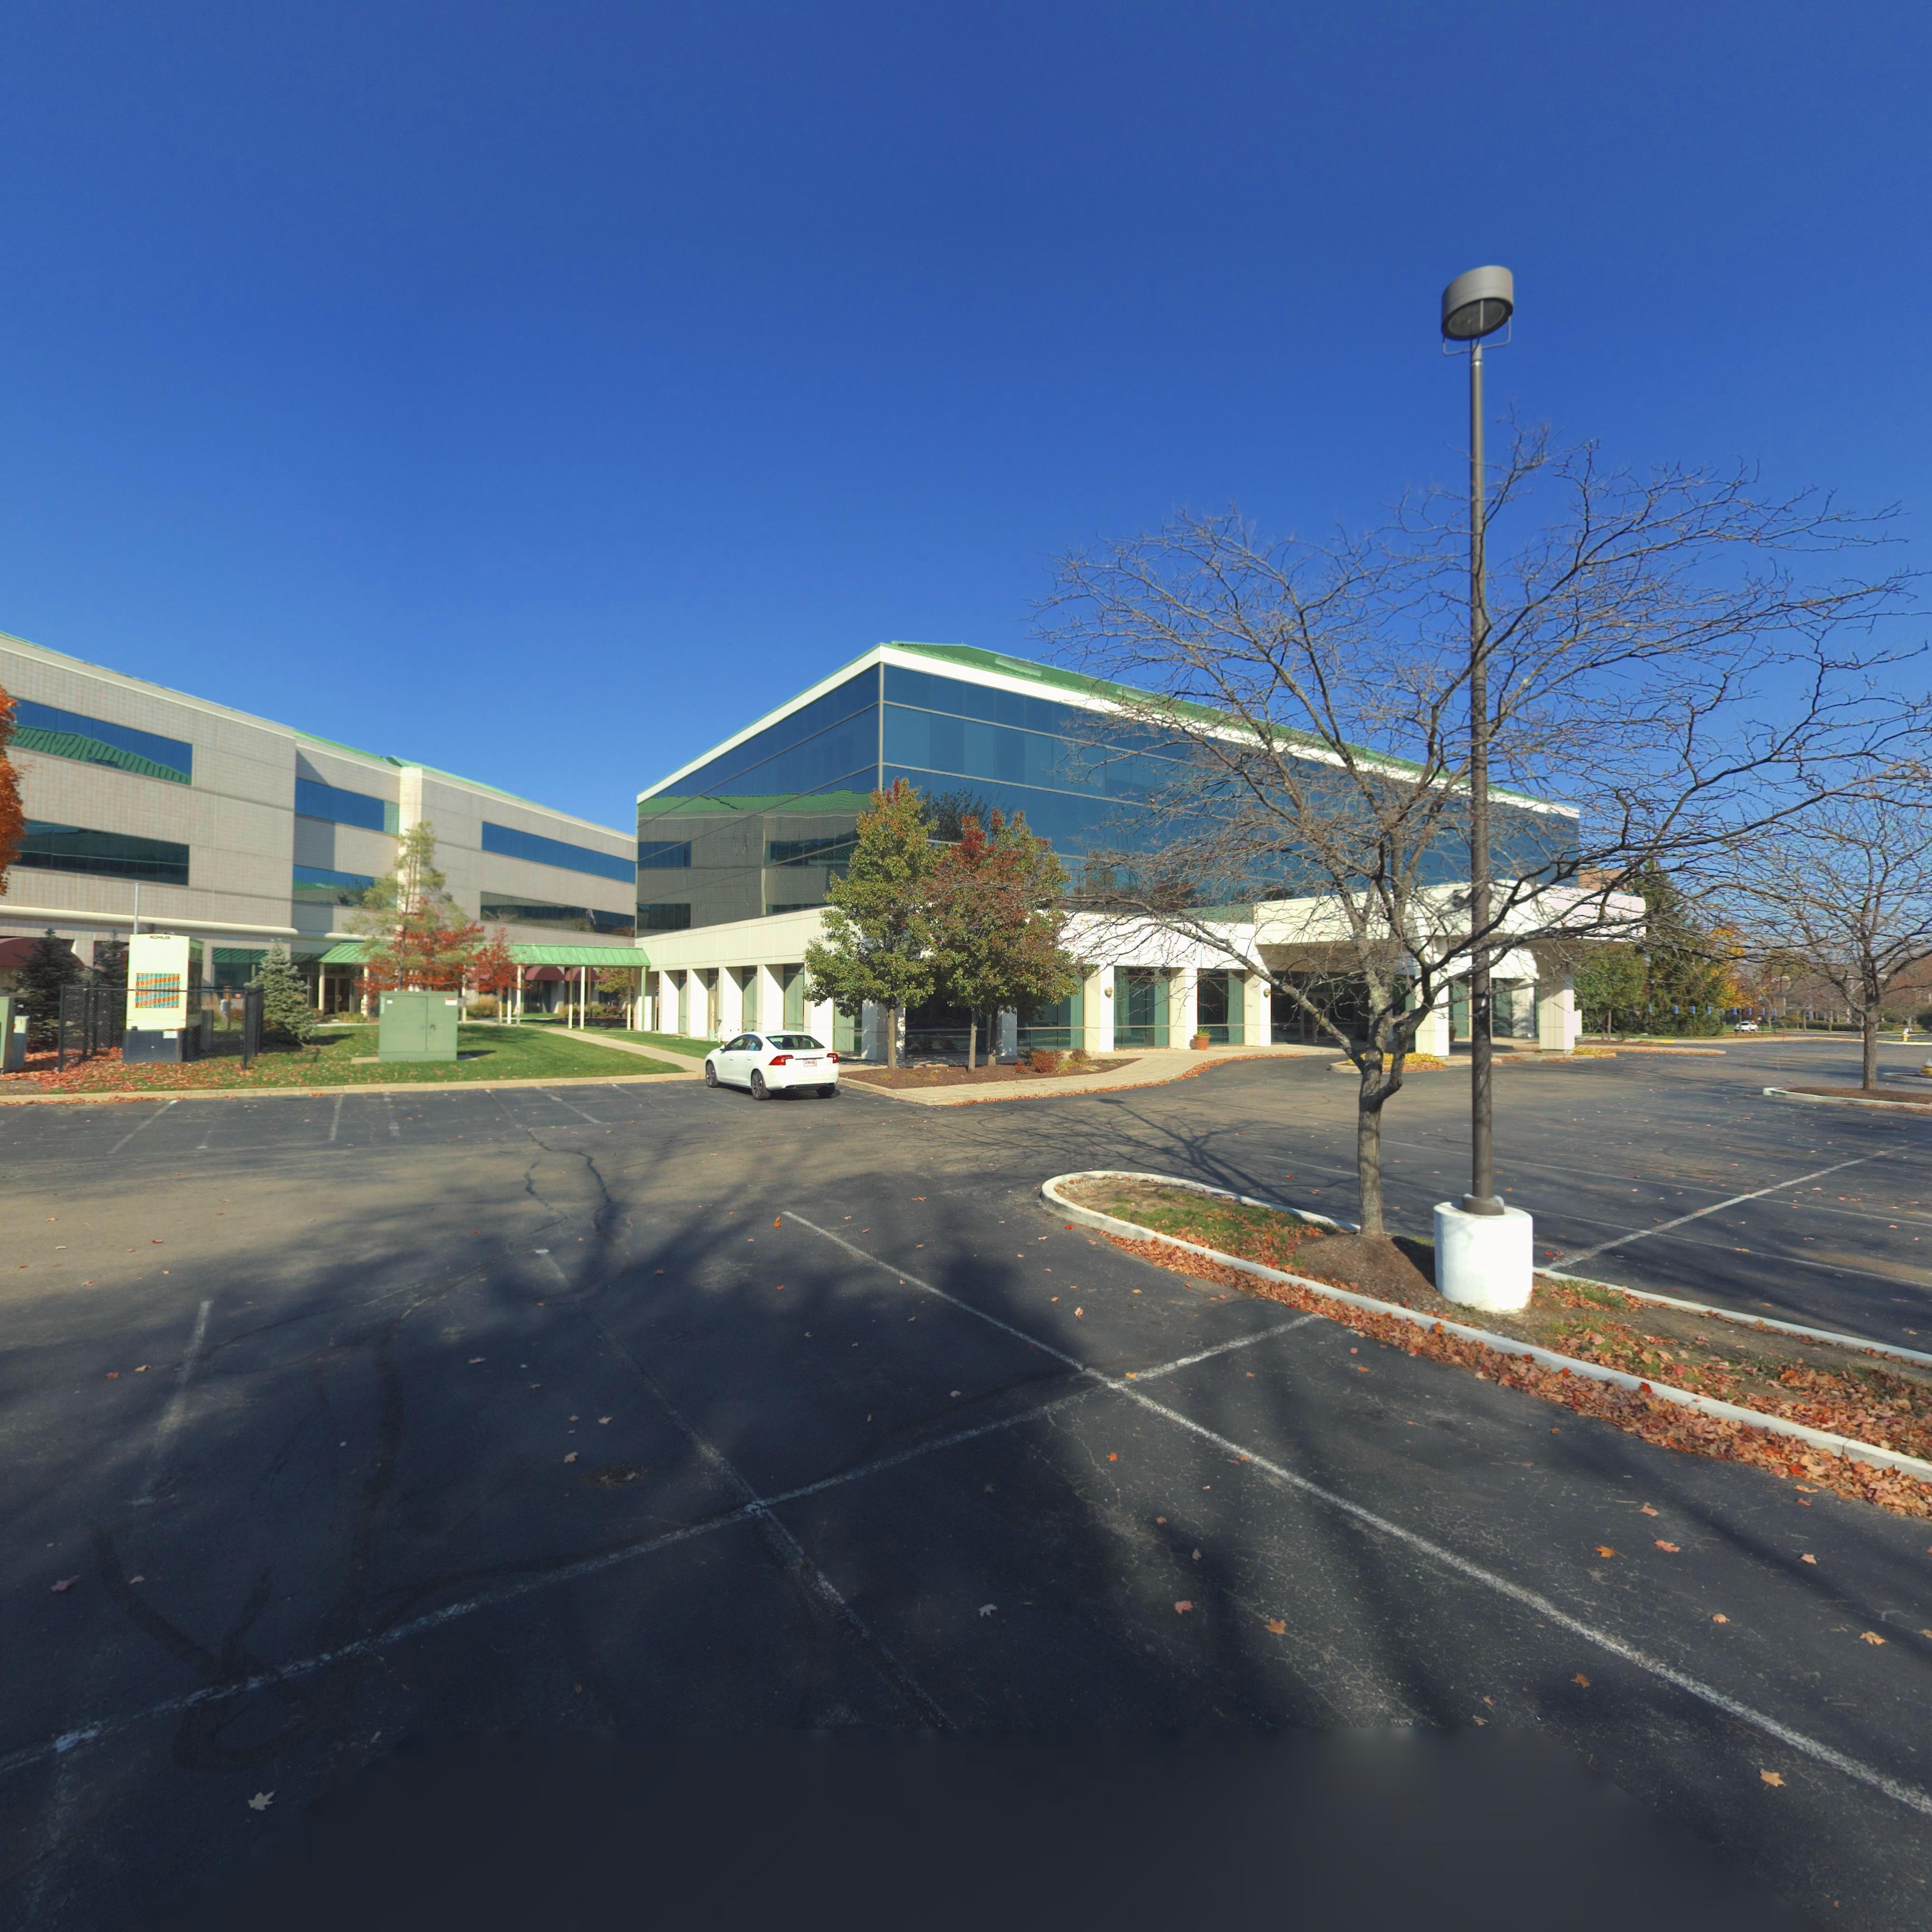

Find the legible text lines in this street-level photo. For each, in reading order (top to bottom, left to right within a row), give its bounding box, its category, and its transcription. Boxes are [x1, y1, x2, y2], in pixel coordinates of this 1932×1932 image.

[1451, 888, 1465, 908] StreetNumber: 5